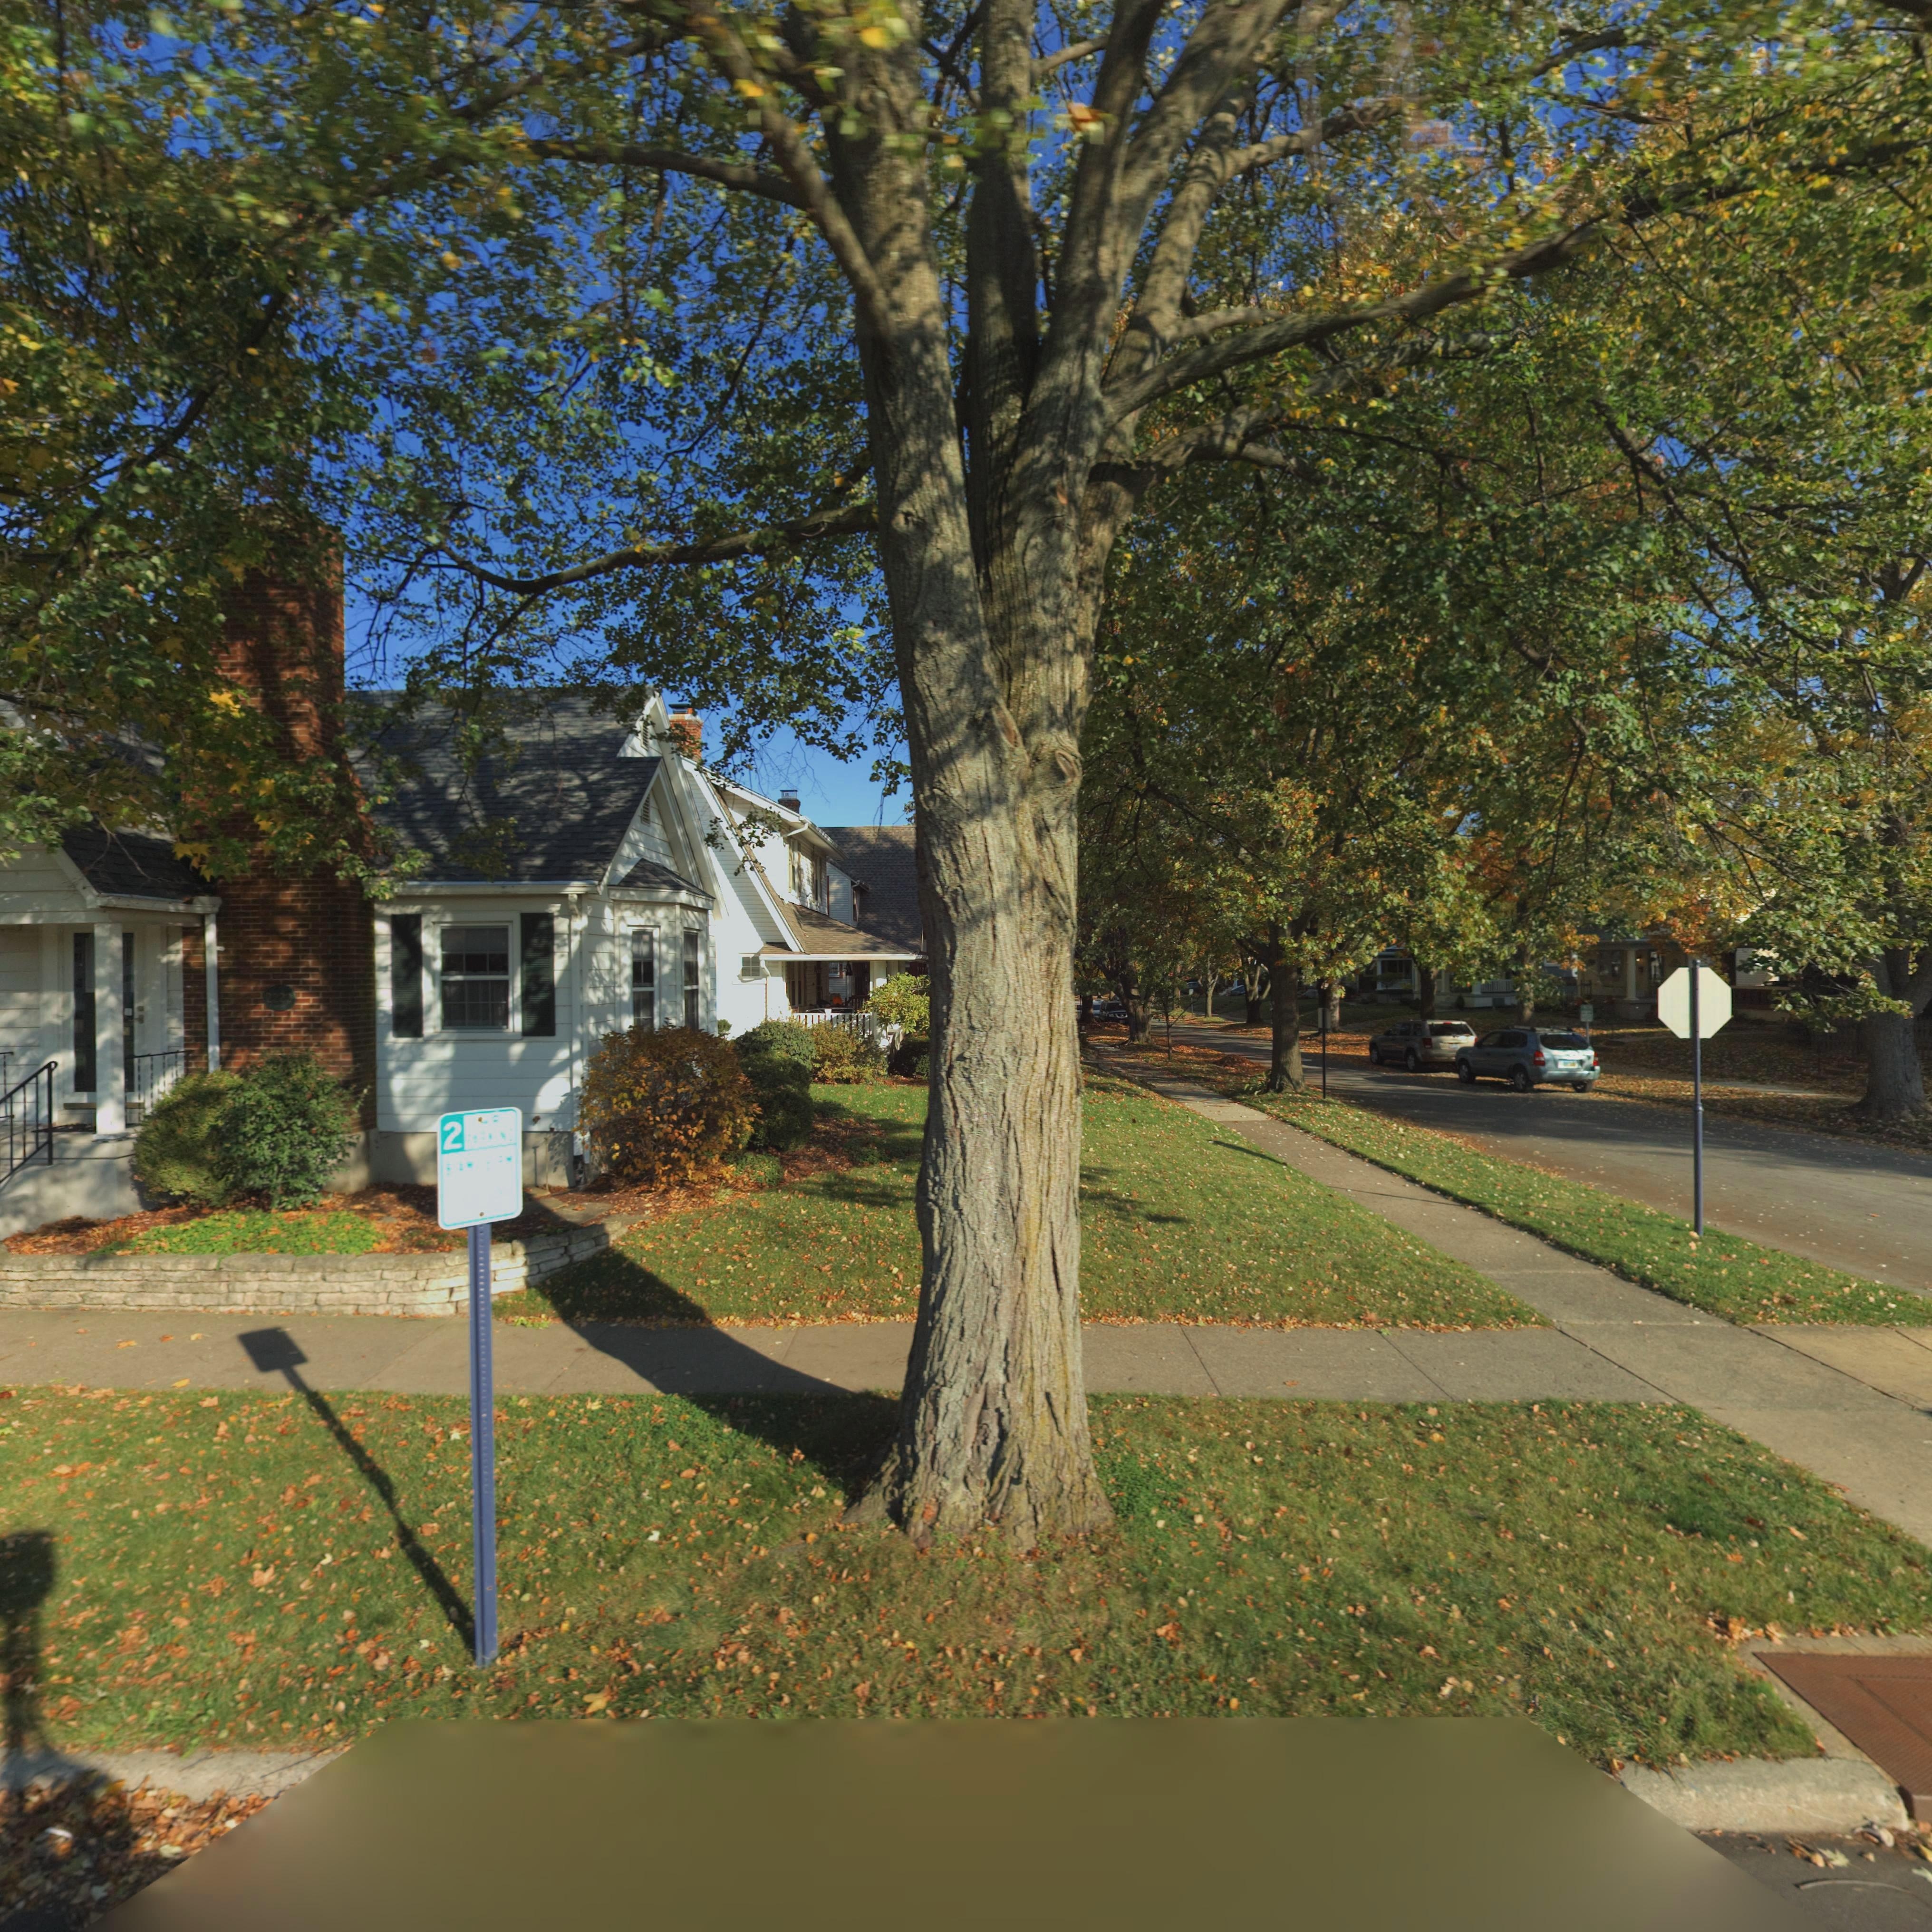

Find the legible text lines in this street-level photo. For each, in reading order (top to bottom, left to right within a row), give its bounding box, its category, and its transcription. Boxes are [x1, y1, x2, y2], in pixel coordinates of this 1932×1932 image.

[264, 991, 293, 1005] StreetNumber: 2*22